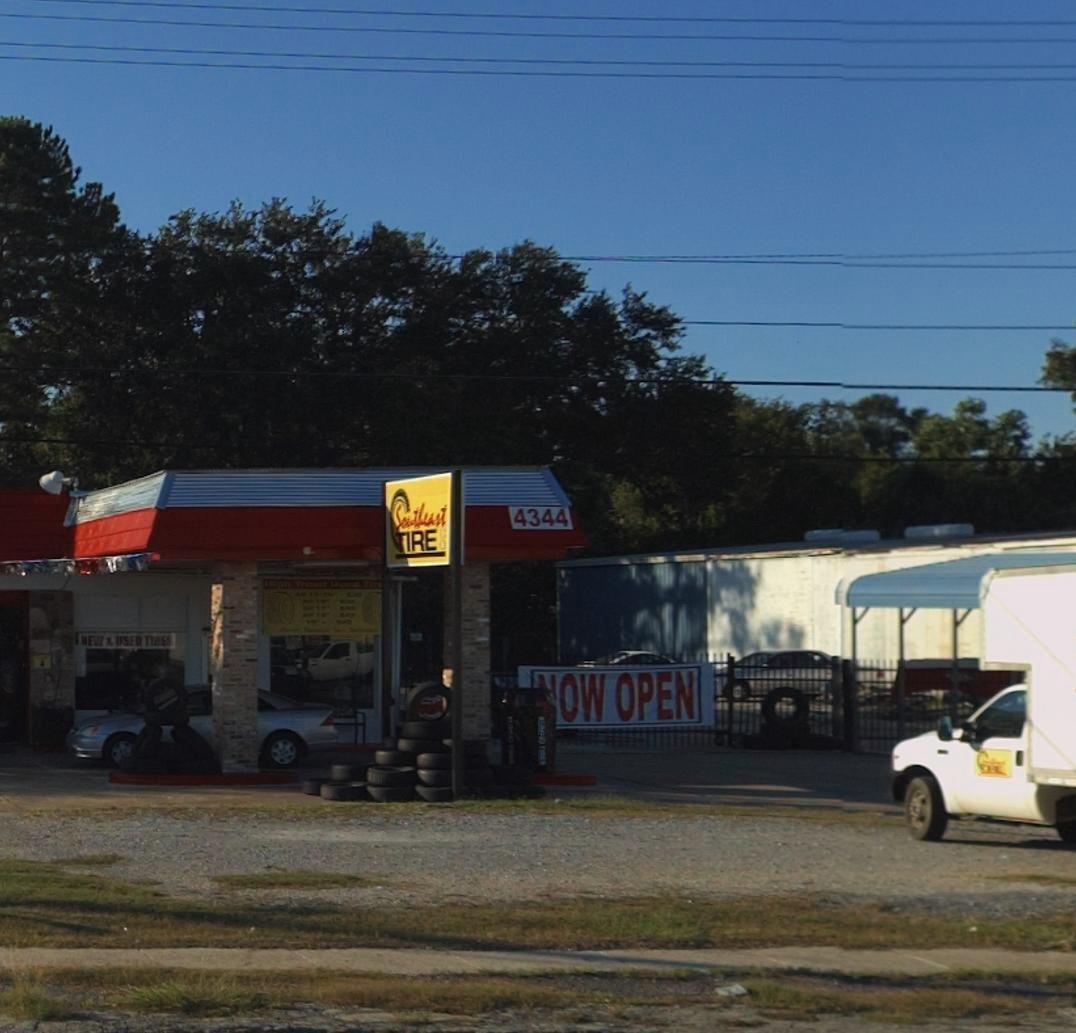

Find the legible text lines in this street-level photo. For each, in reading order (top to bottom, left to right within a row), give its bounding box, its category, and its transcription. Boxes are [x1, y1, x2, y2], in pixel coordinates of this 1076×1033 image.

[391, 501, 449, 530] BusinessName: S**tleast
[508, 506, 573, 530] StreetNumber: 4344
[390, 530, 442, 555] BusinessName: TIRE
[78, 632, 174, 649] None: NEW & USED TIRES
[556, 667, 703, 725] None: OW OPEN